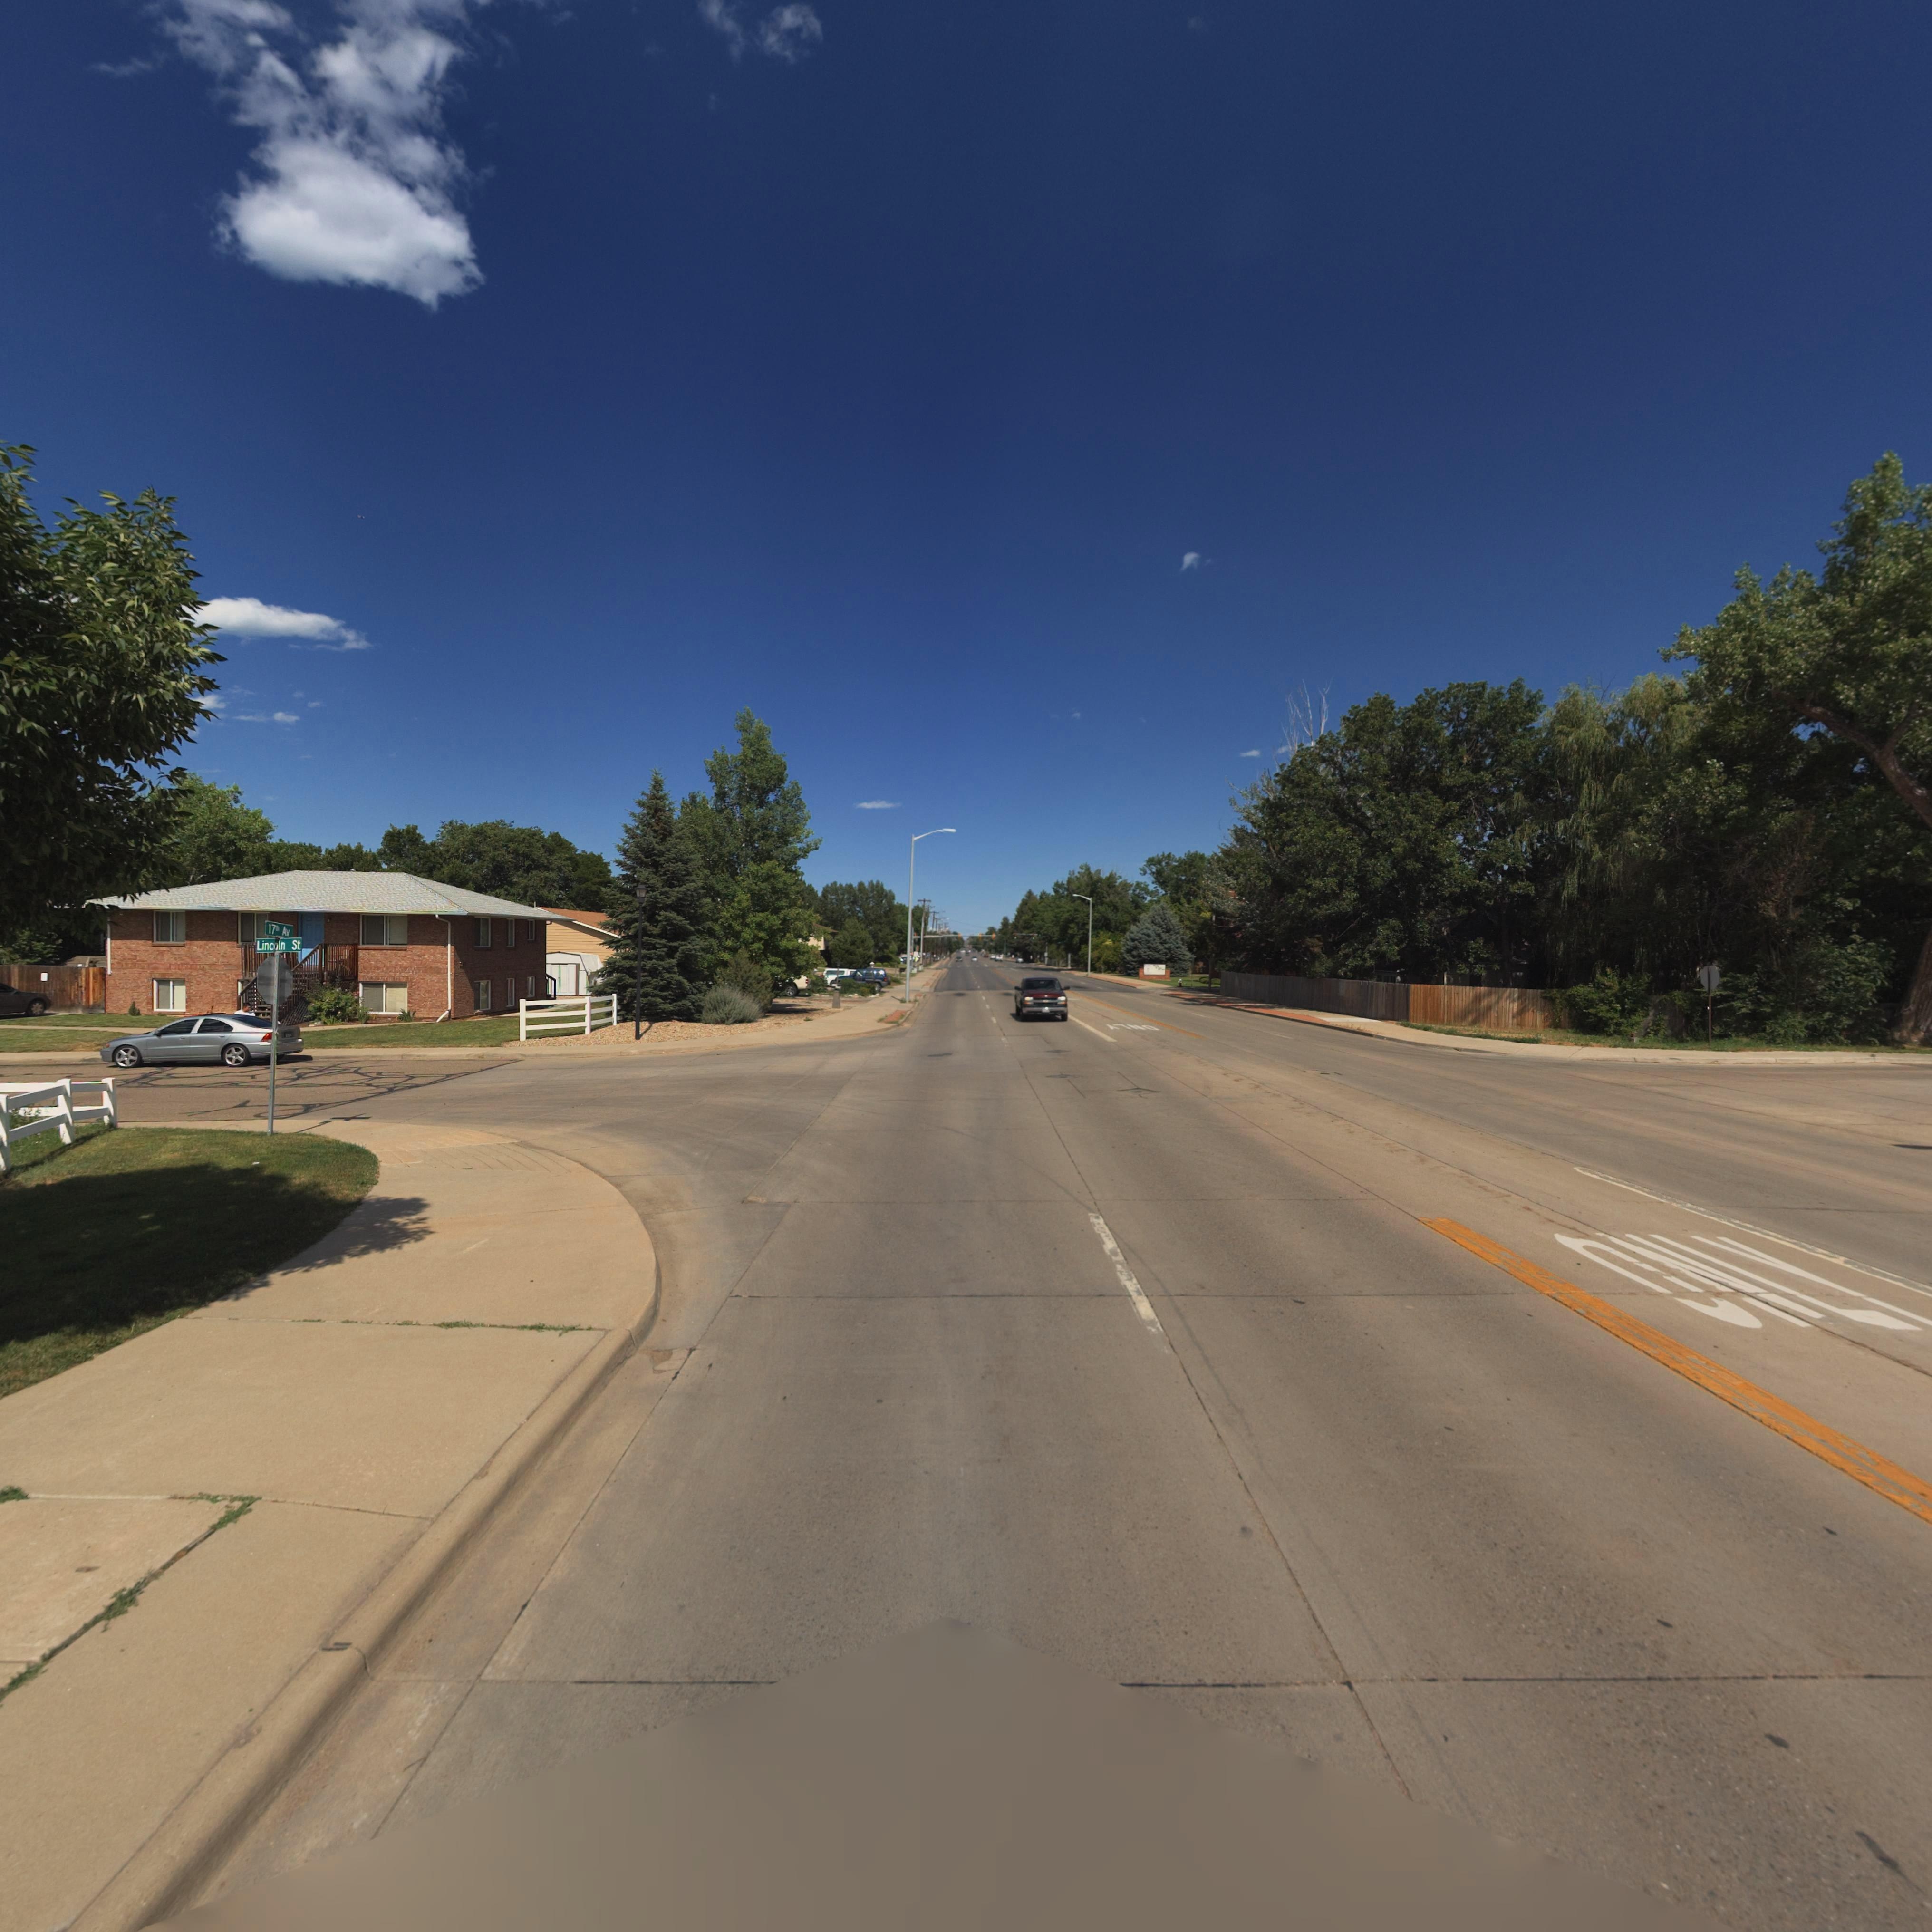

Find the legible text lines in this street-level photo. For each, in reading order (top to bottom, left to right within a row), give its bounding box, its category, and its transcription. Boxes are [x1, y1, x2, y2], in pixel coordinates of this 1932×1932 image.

[268, 923, 290, 937] StreetName: 17th Av
[256, 939, 301, 950] StreetName: Lincoln St